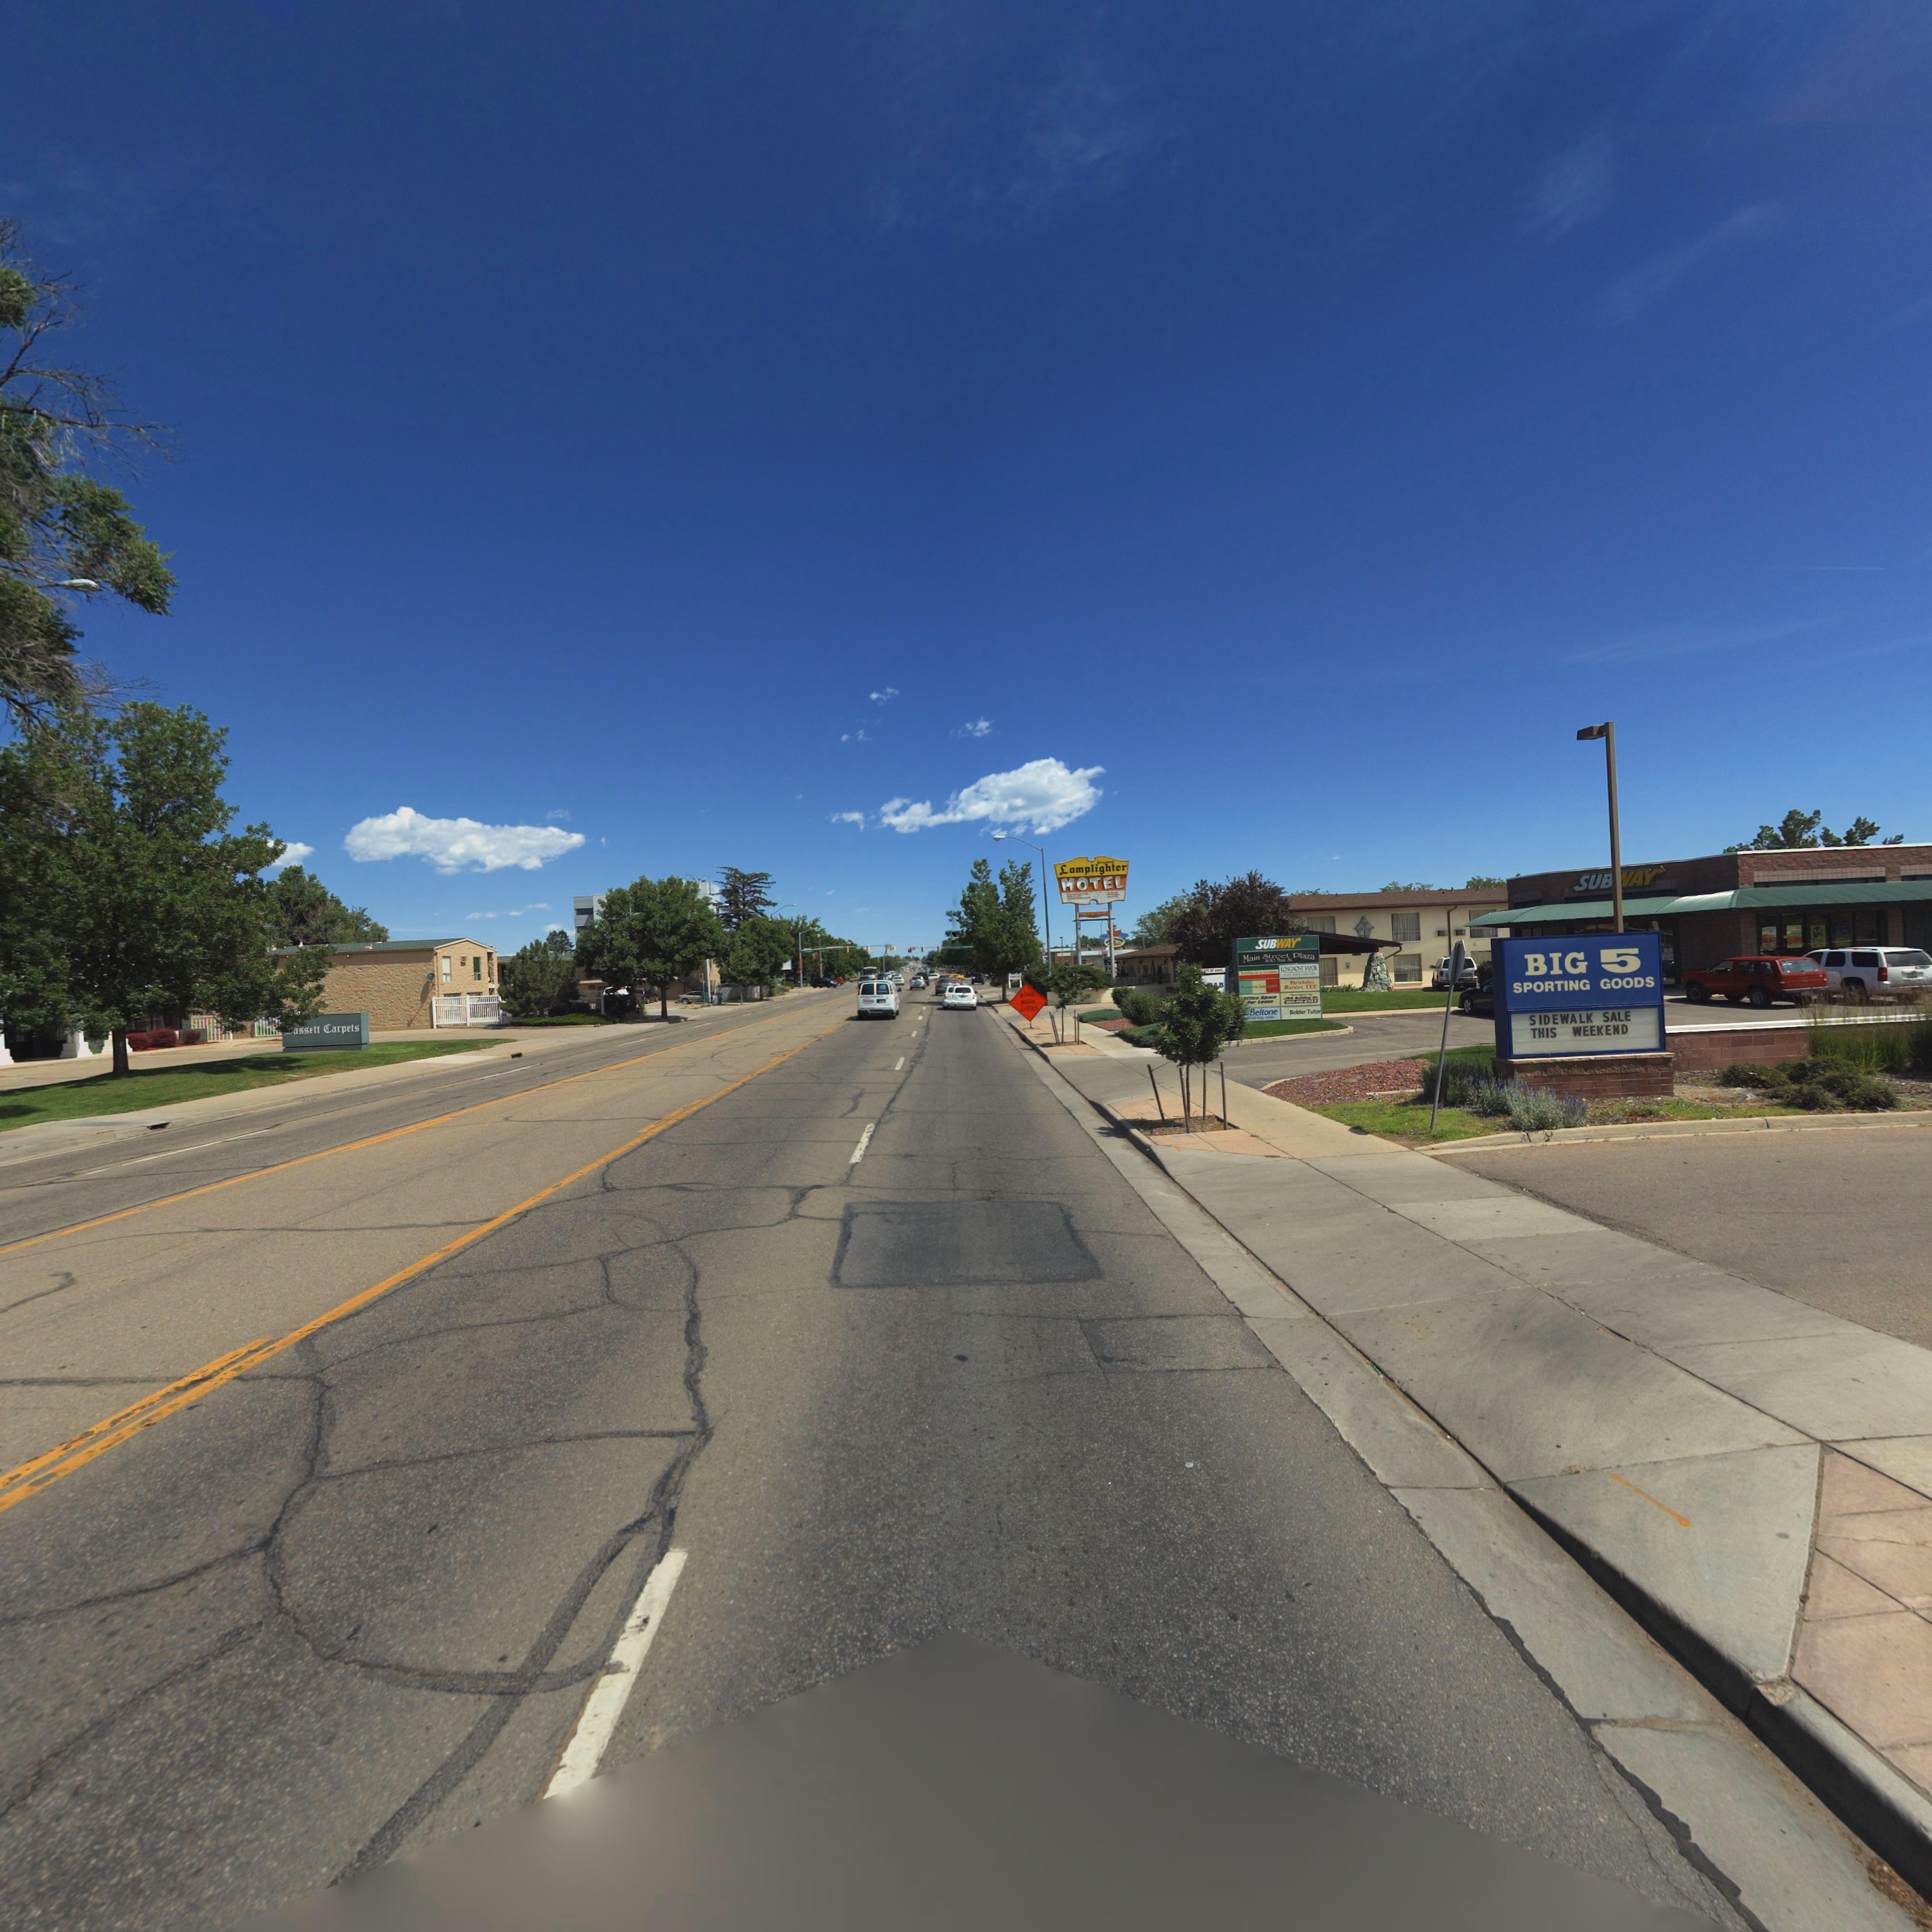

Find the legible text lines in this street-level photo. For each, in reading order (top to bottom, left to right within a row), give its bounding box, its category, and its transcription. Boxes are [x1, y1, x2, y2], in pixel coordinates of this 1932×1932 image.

[1096, 860, 1115, 865] BusinessName: Lo*****t
[1059, 863, 1128, 876] BusinessName: Lamplighter
[1060, 875, 1124, 891] BusinessName: MOTEL
[1572, 865, 1667, 892] BusinessName: SUB*AY
[1254, 937, 1302, 950] BusinessName: SUBWAY
[1265, 958, 1276, 963] StreetNumber: 1630
[1524, 947, 1642, 976] BusinessName: BIG 5
[1280, 965, 1318, 972] BusinessName: LONGMONT ***
[1240, 984, 1277, 989] BusinessName: P******* G********
[1512, 976, 1656, 994] BusinessName: SPORTING GOODS
[1246, 1015, 1275, 1020] None: ******* Aids
[1249, 1007, 1278, 1016] BusinessName: Beltone
[1289, 1008, 1322, 1015] BusinessName: Bolder Tutor
[283, 1023, 360, 1036] BusinessName: *assett Carpets